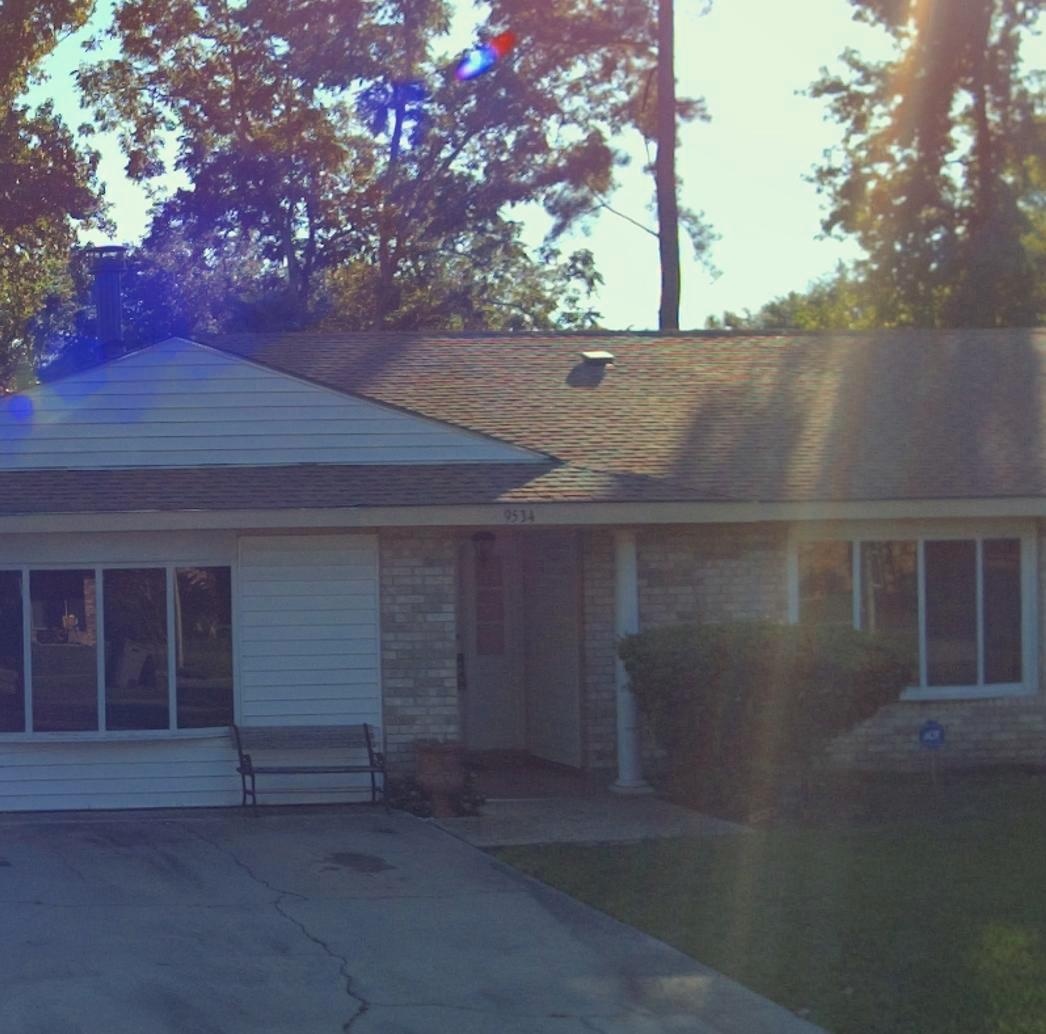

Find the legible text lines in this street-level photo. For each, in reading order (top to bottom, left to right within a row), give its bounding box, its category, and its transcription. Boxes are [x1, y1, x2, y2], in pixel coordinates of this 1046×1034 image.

[503, 509, 537, 523] StreetNumber: 9534
[923, 730, 941, 739] None: ADT